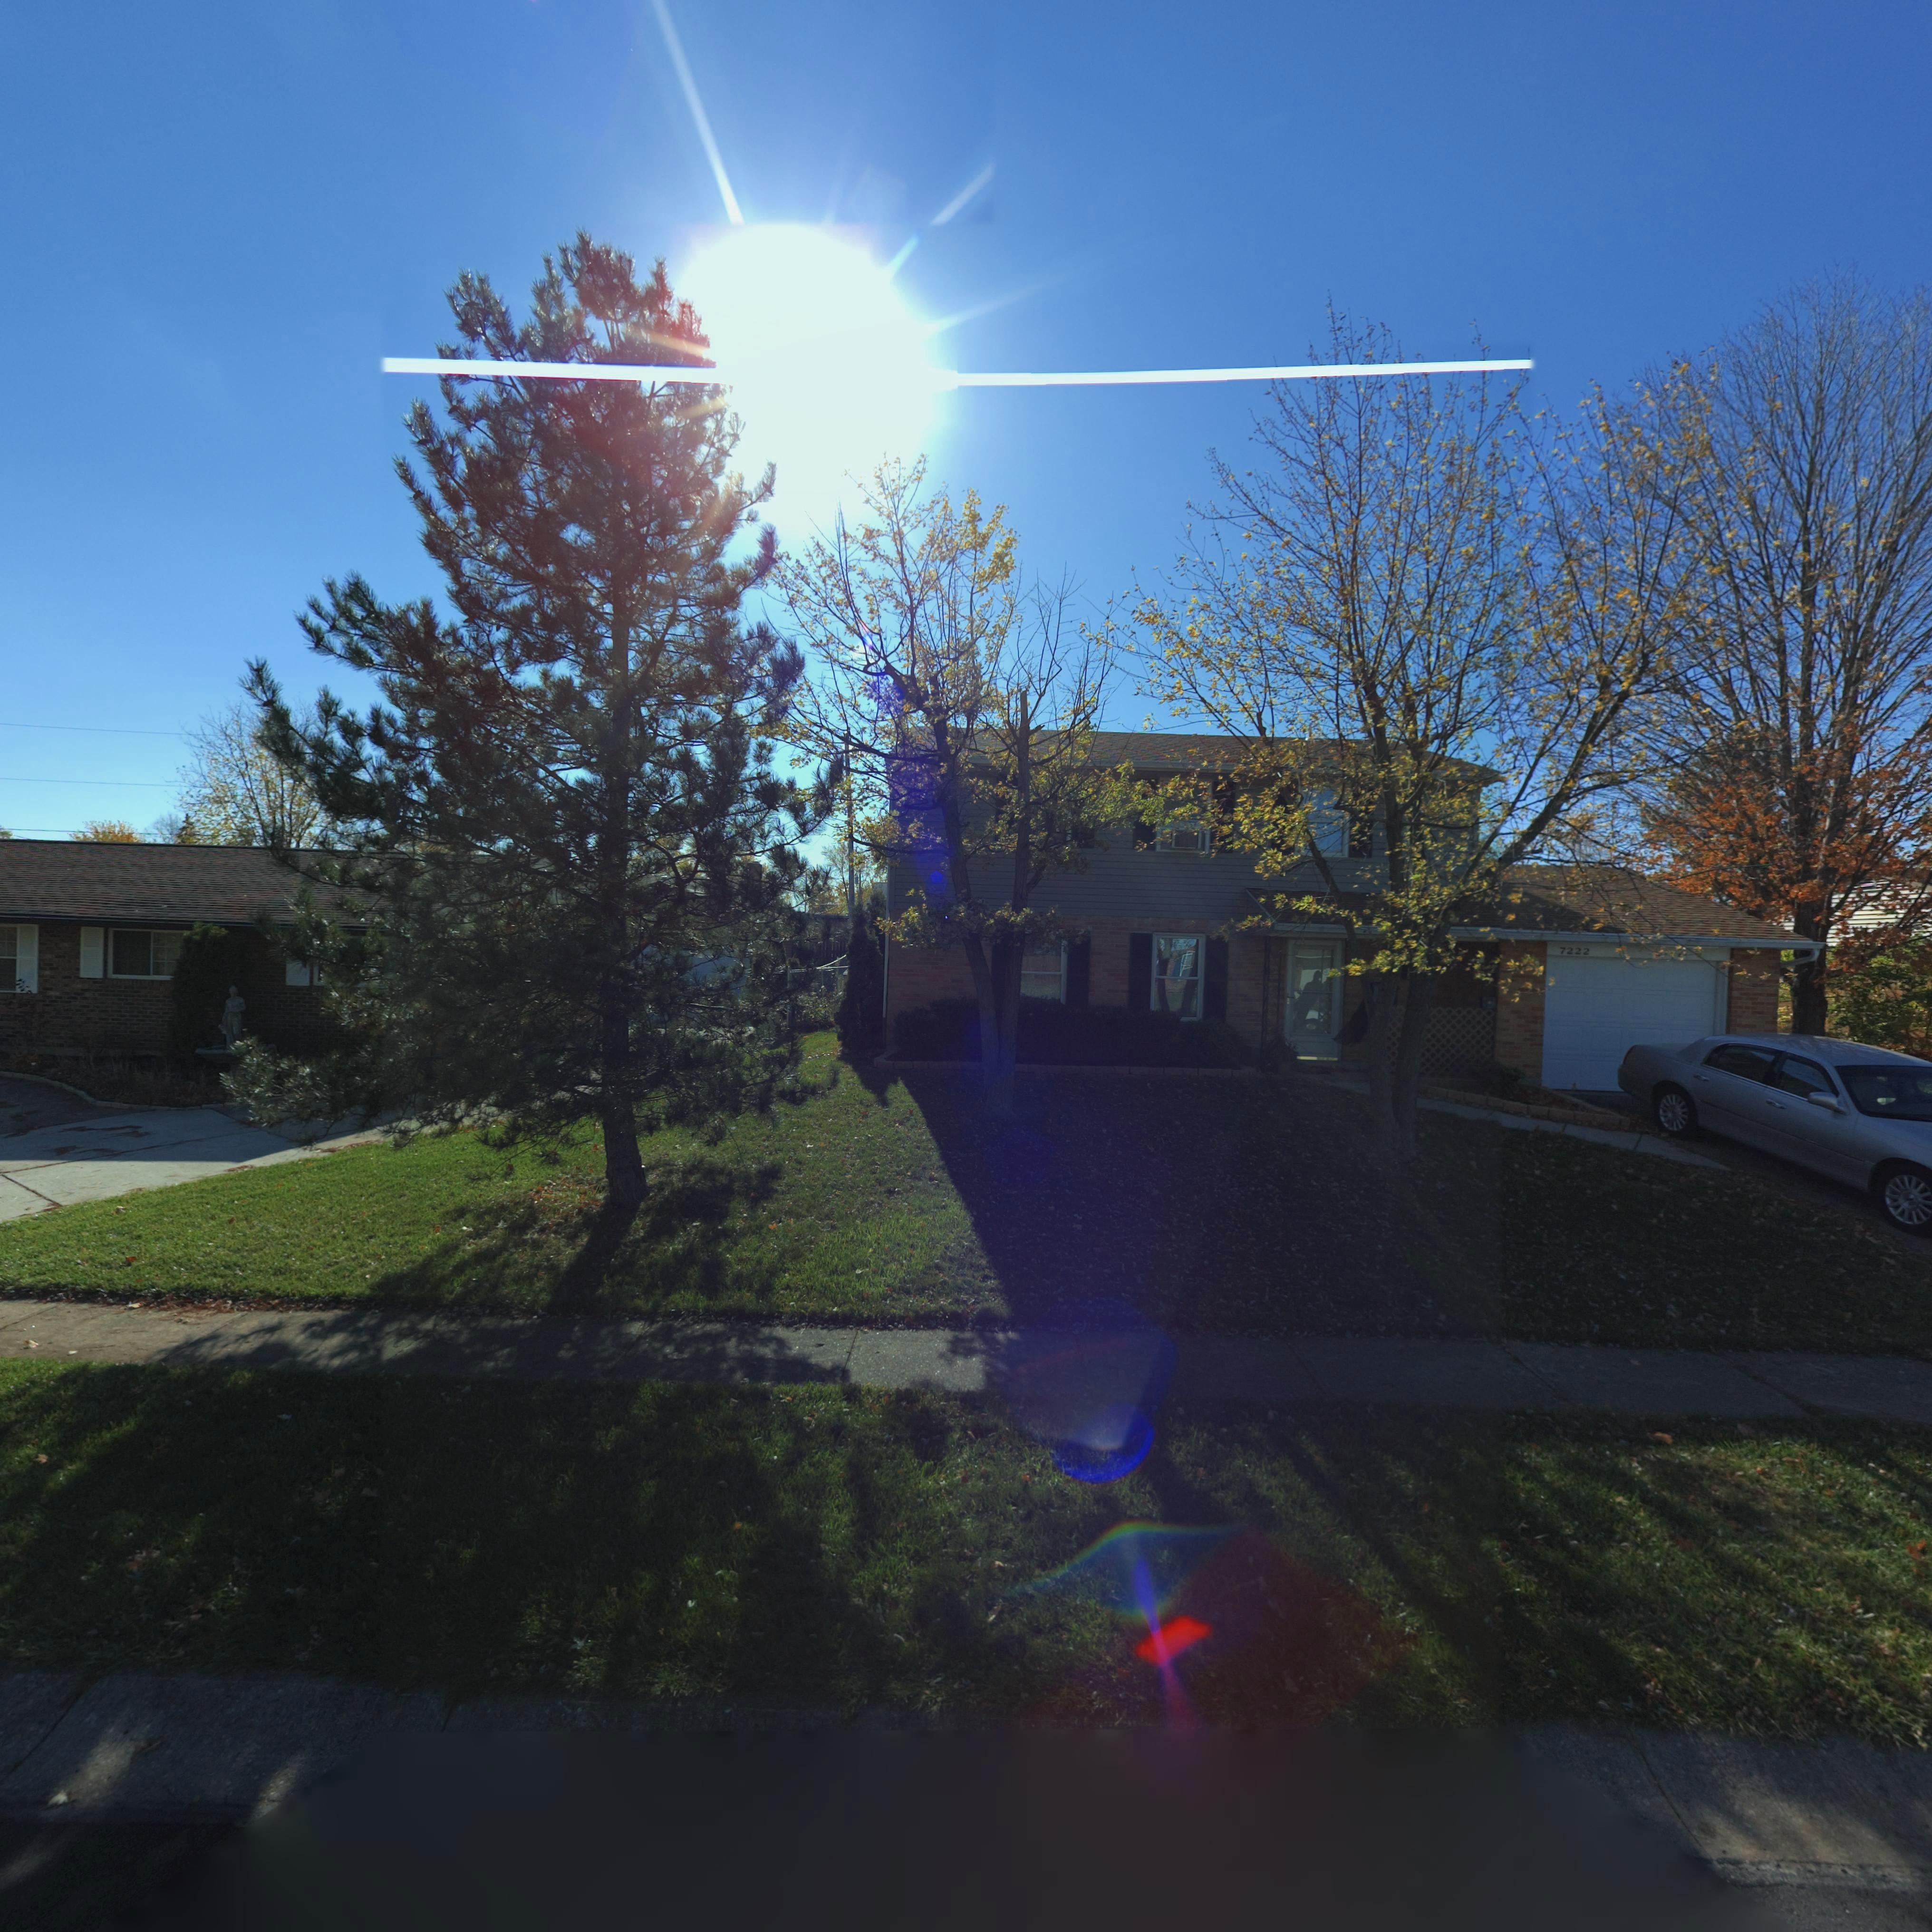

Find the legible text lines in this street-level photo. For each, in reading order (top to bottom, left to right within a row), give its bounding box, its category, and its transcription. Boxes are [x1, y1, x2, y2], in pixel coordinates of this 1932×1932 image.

[1559, 946, 1591, 956] StreetNumber: 7222